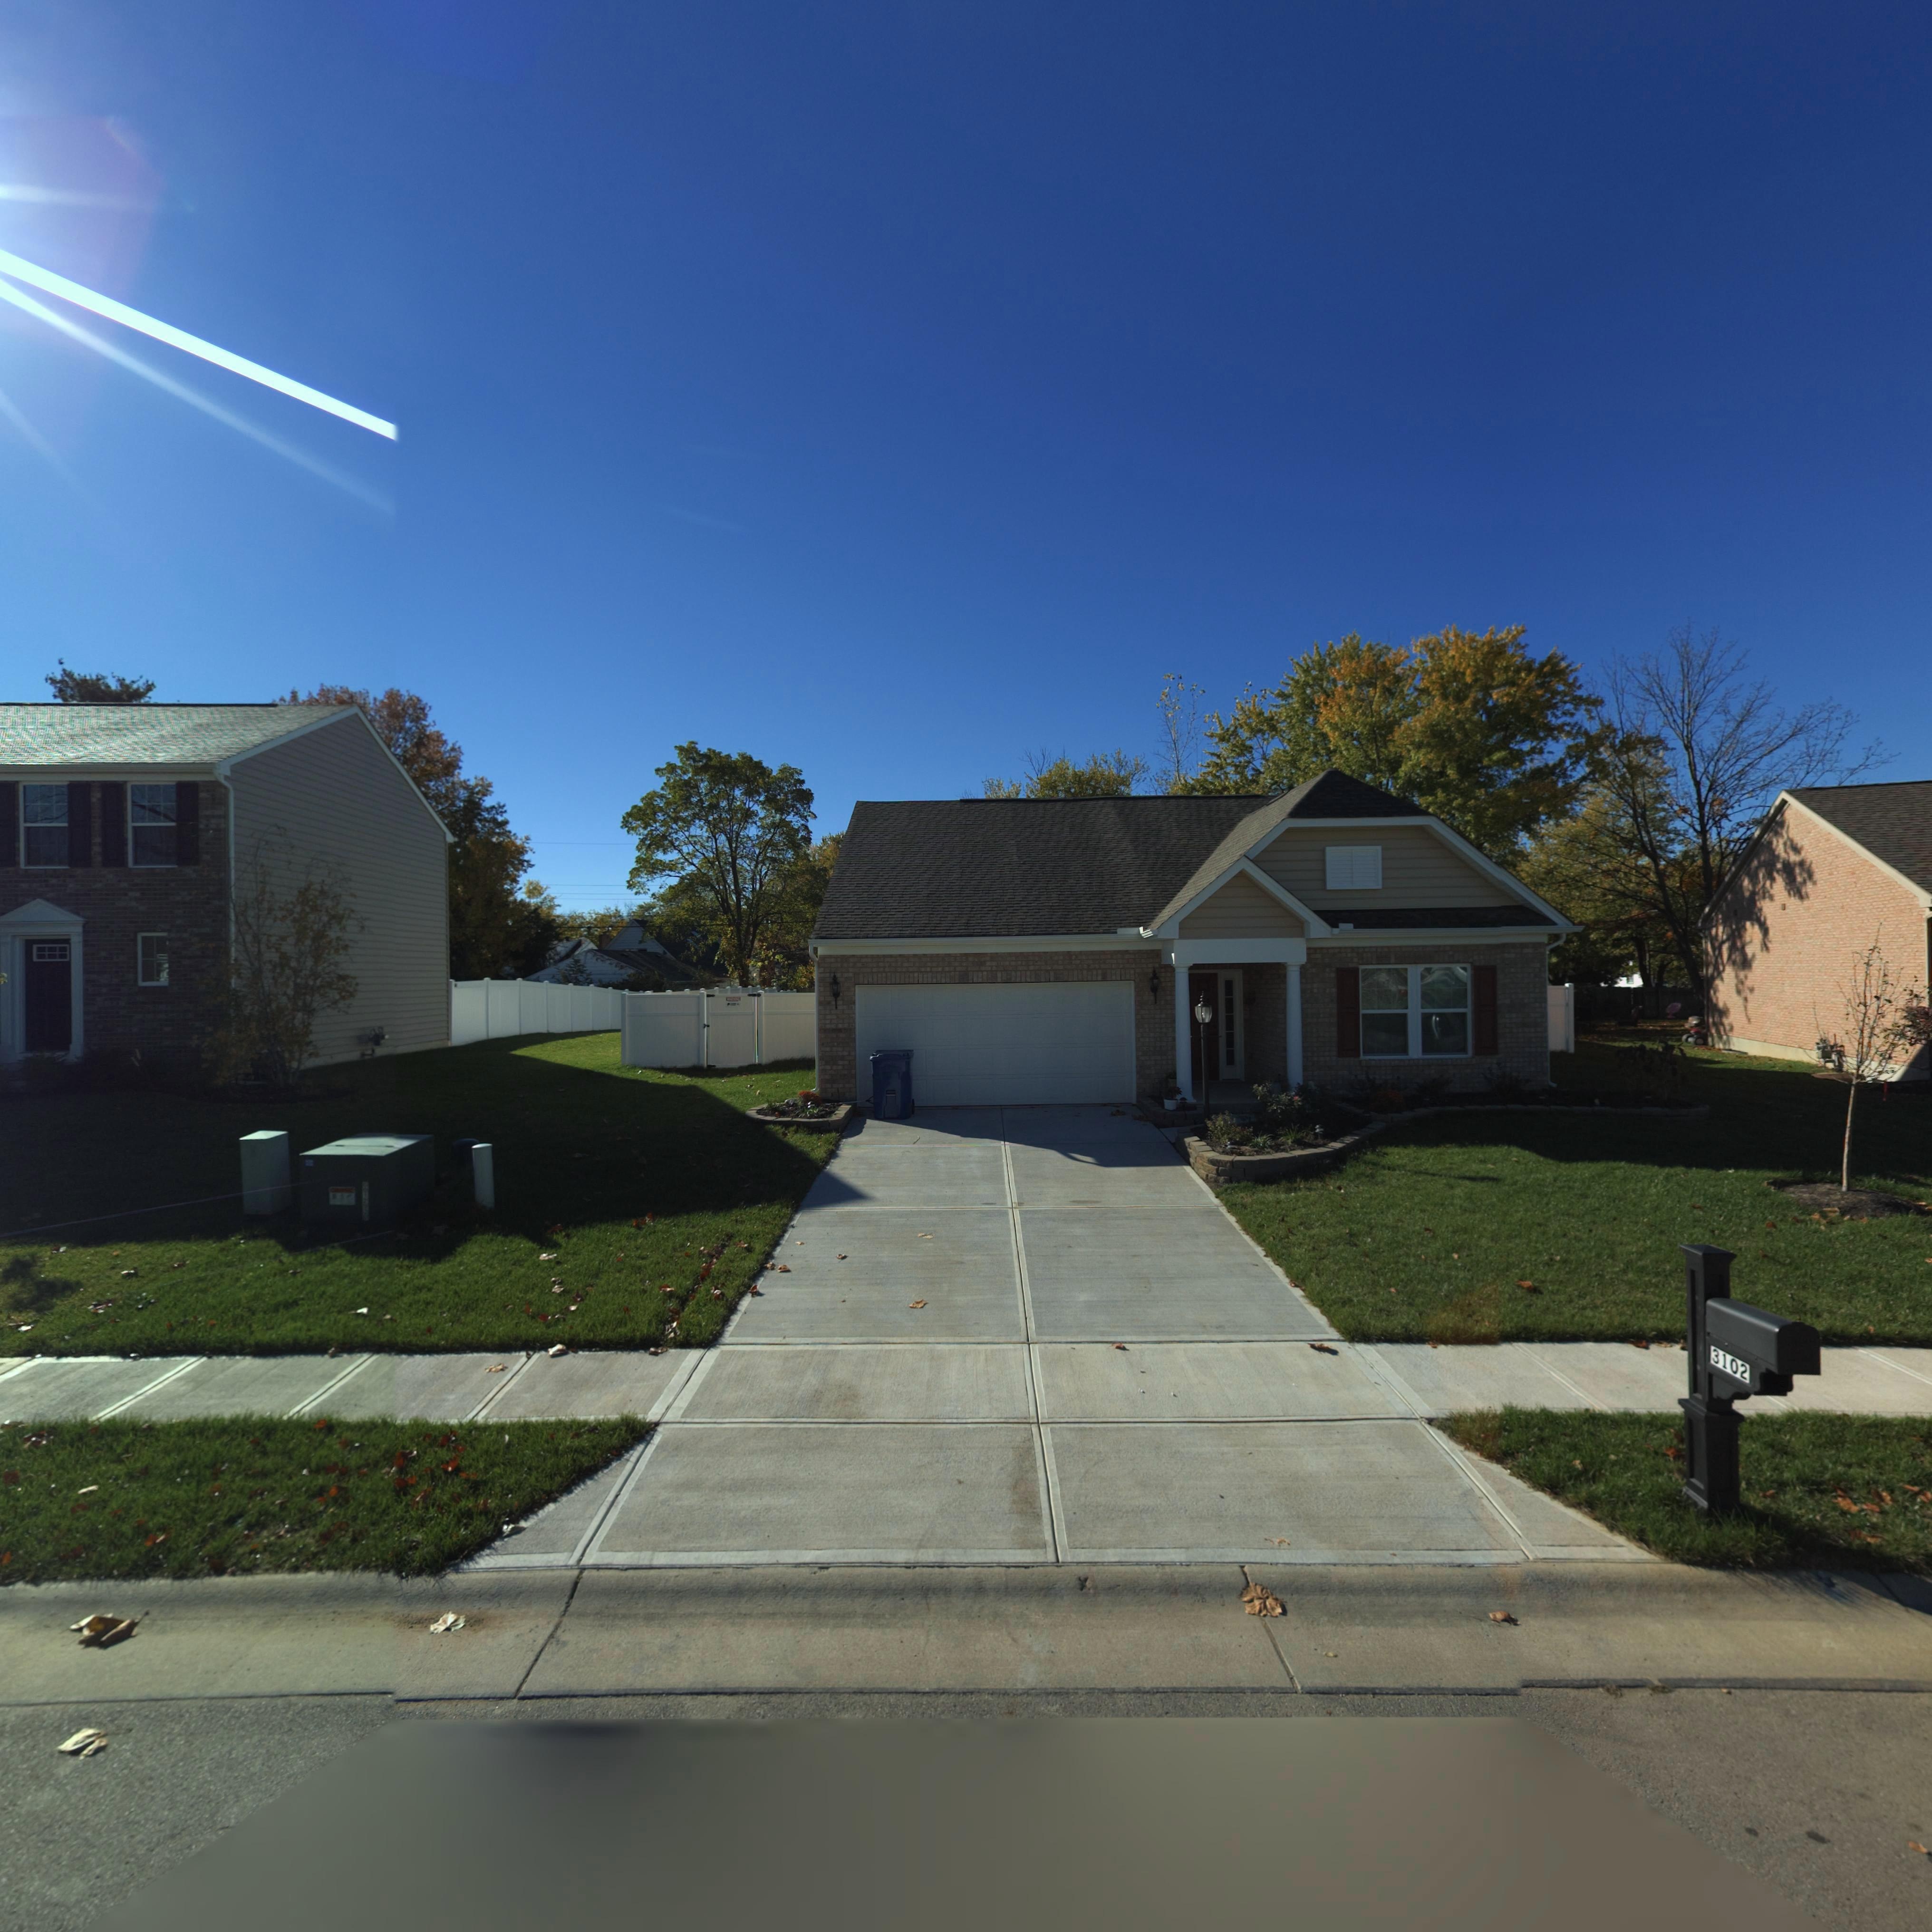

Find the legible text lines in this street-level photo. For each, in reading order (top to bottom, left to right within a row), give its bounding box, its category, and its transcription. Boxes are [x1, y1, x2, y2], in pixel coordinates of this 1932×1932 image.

[1711, 1347, 1748, 1382] StreetNumber: 3102